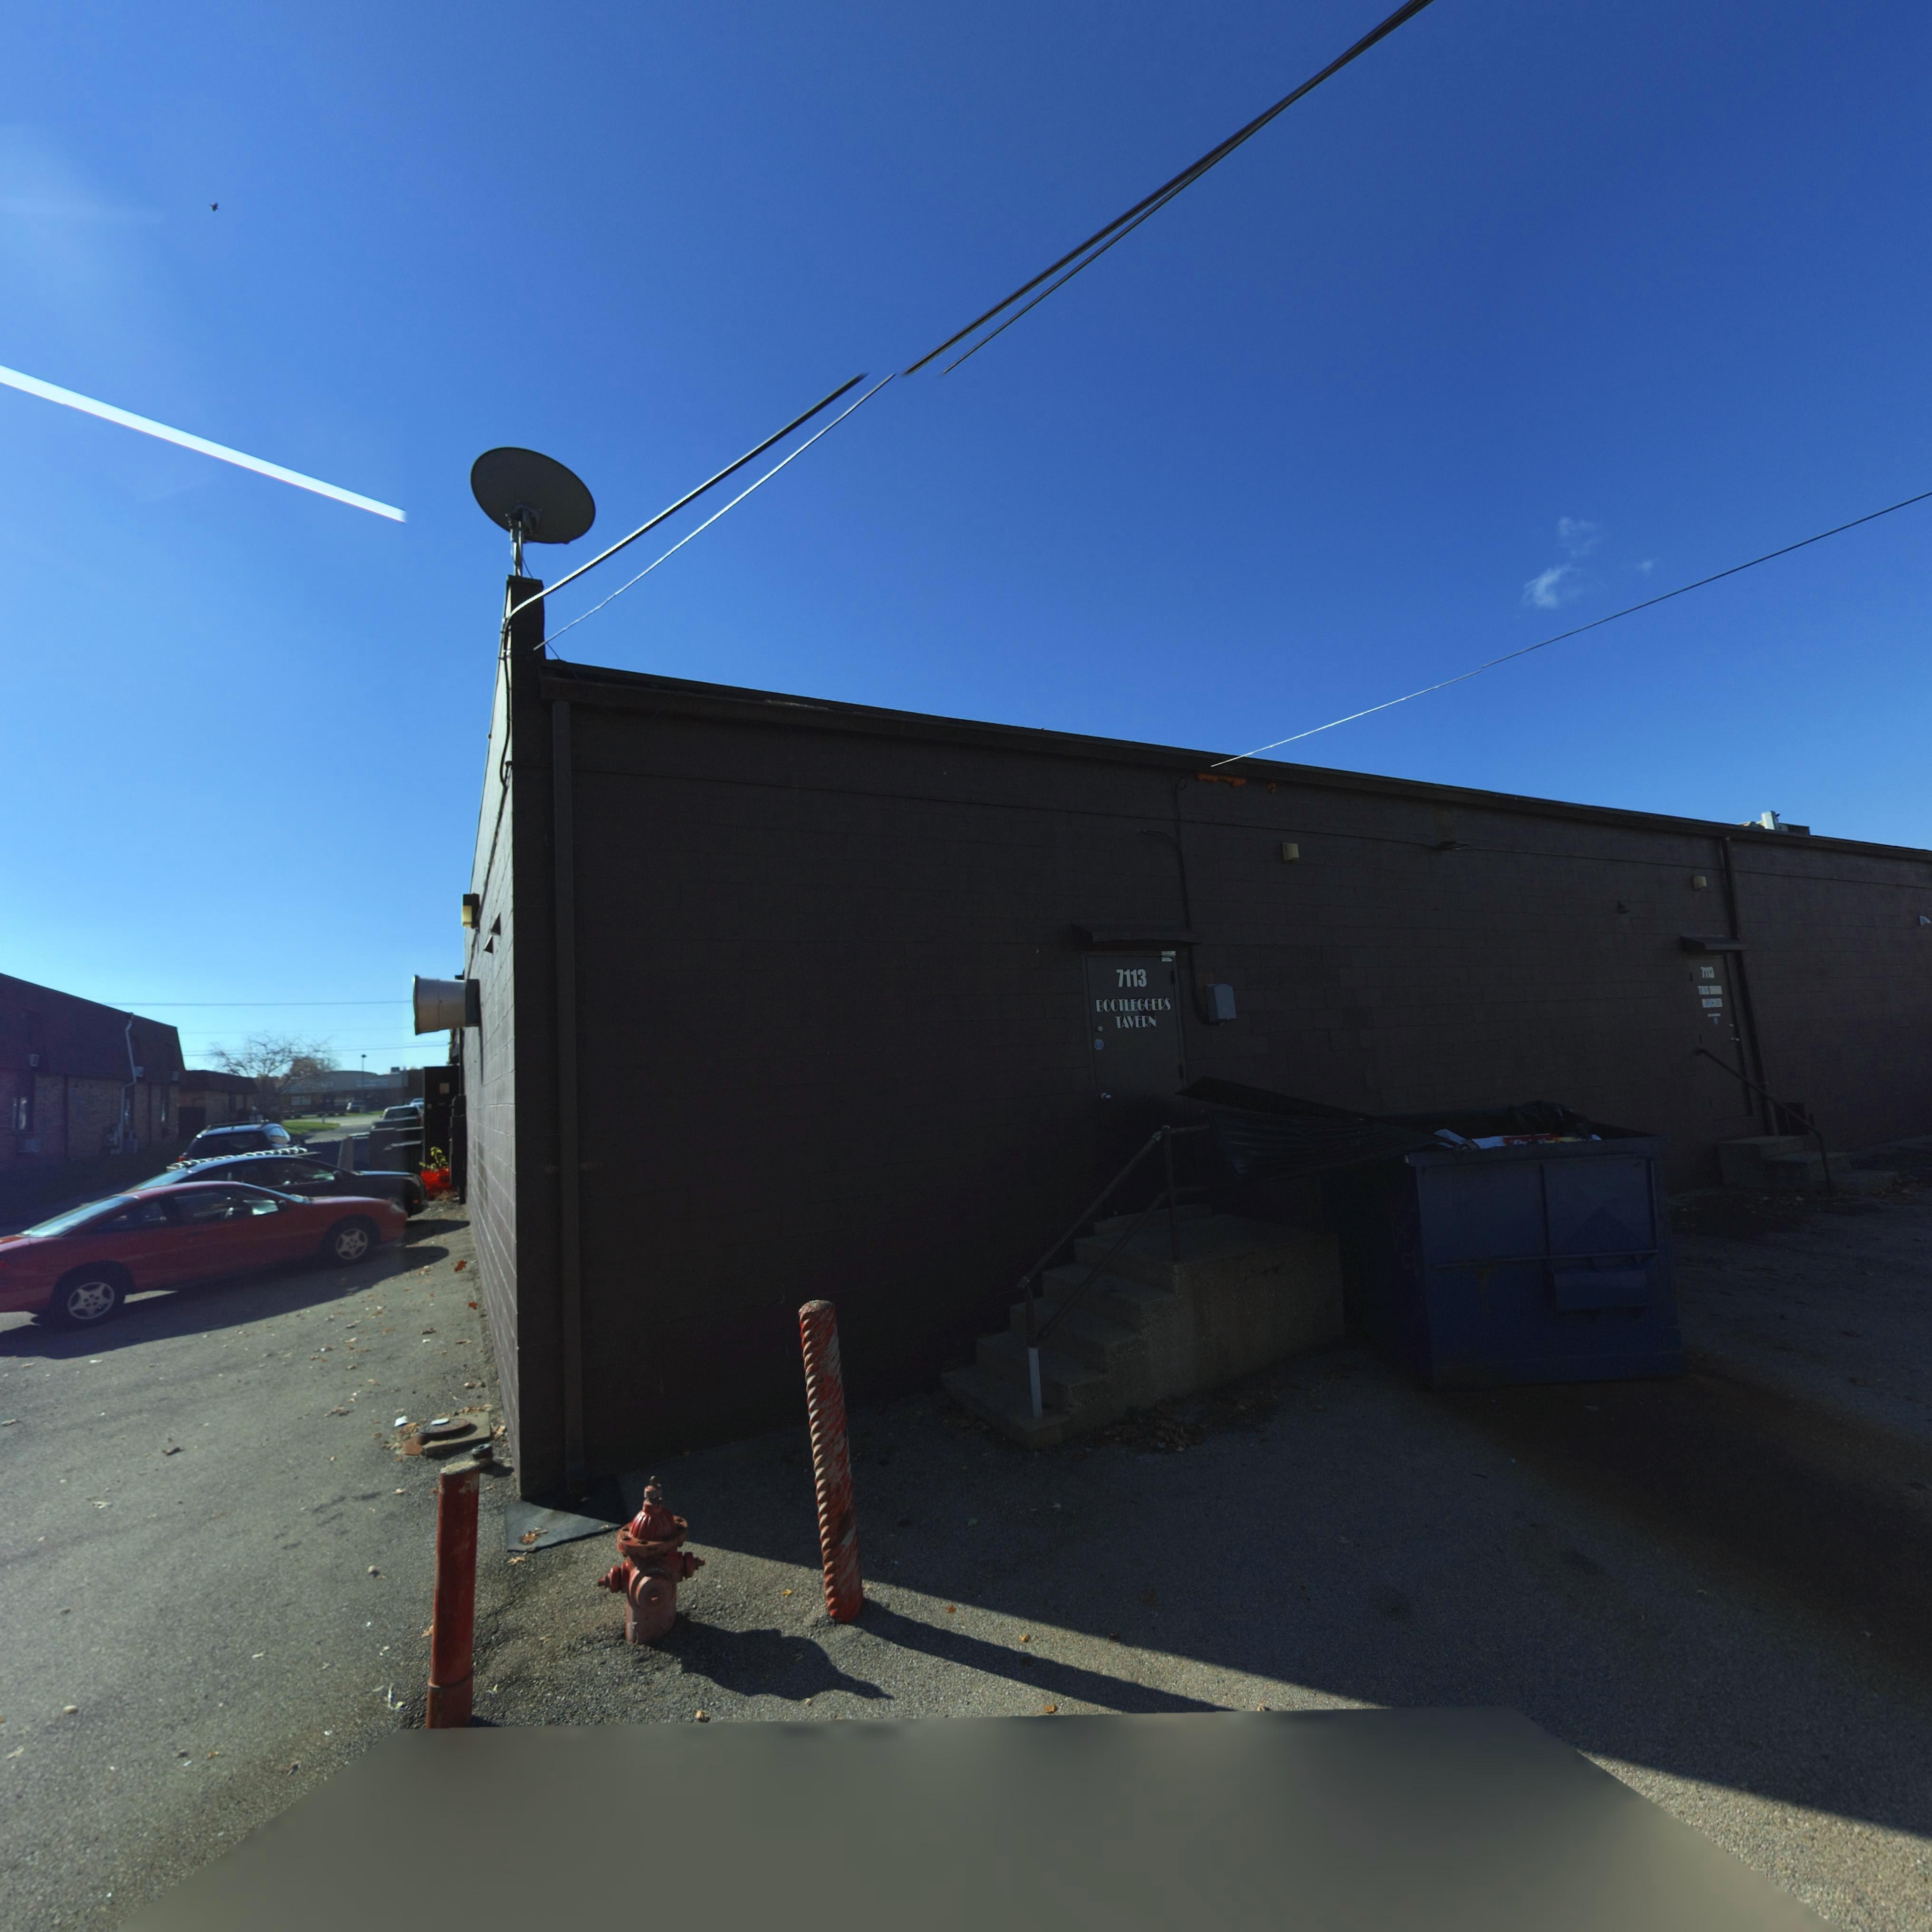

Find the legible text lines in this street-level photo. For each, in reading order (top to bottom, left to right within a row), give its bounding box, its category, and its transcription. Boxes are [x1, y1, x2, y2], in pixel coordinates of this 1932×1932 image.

[1115, 968, 1147, 988] StreetNumber: 7113
[1700, 966, 1715, 979] StreetNumber: 7113
[1095, 997, 1172, 1013] BusinessName: BOOTLEGGERS
[1113, 1014, 1157, 1029] BusinessName: TAVERN